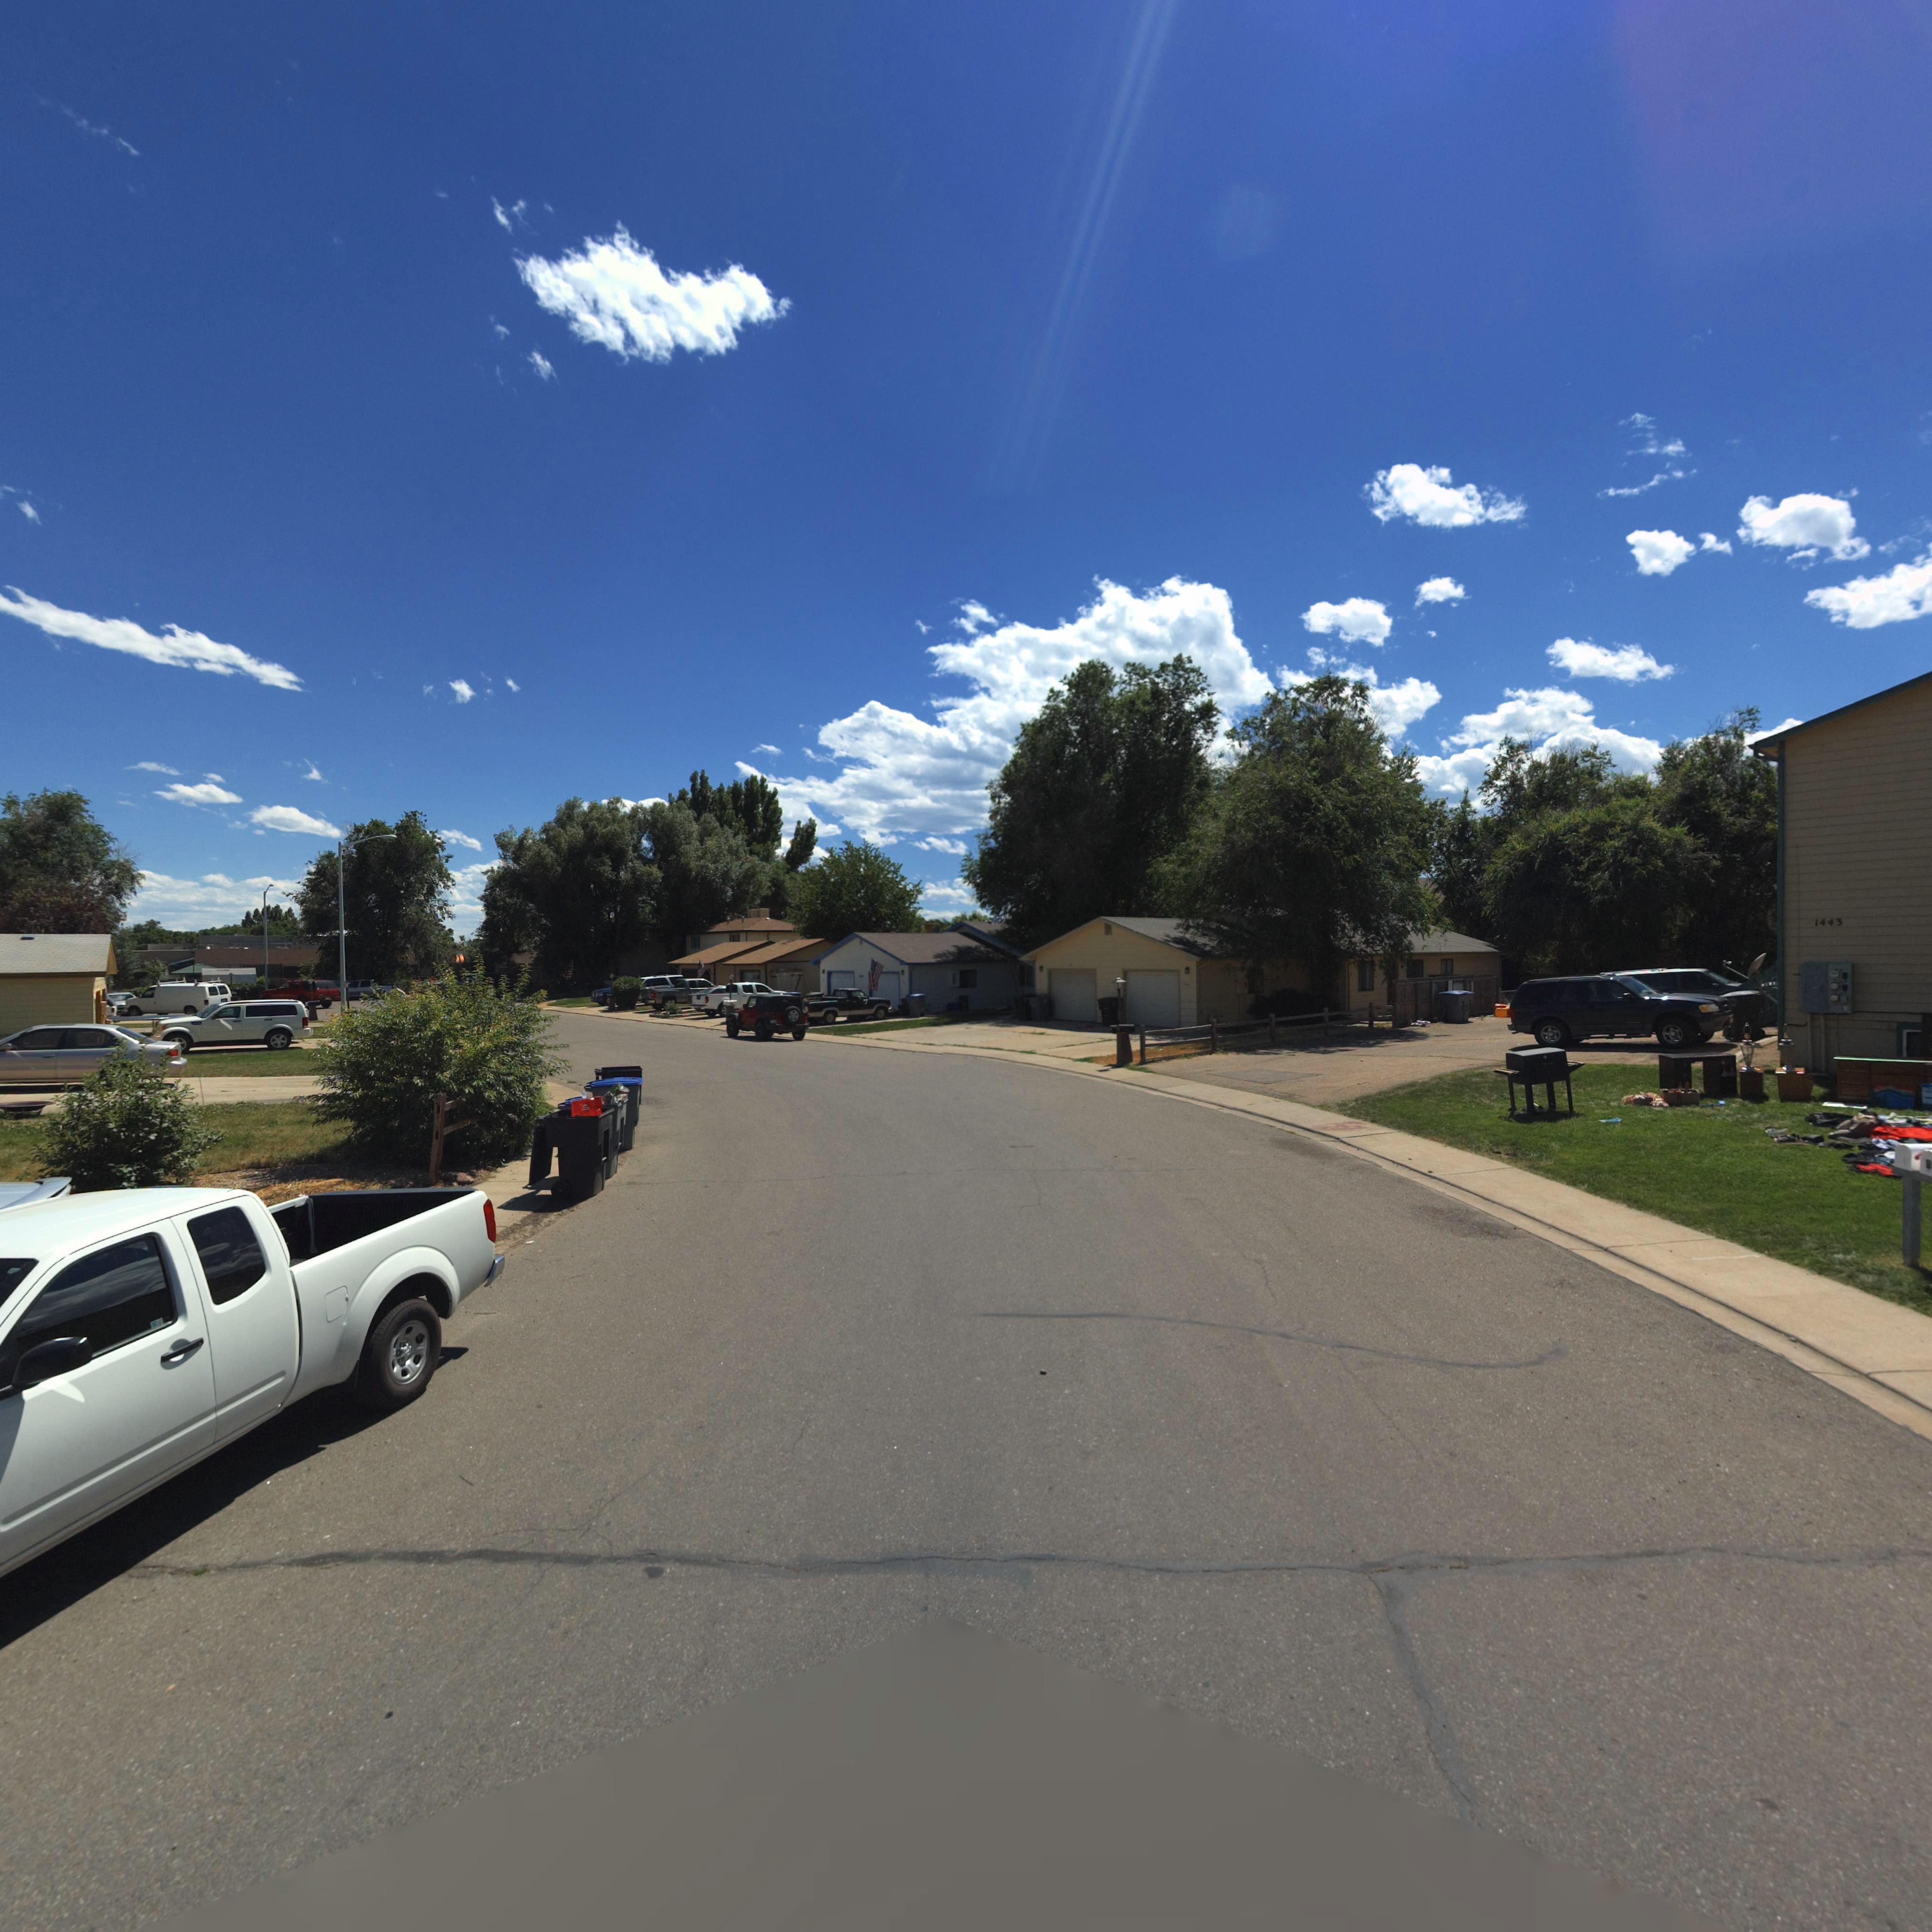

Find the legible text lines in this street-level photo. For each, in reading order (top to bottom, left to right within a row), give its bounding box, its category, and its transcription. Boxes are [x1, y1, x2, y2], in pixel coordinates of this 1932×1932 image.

[1815, 918, 1842, 926] StreetNumber: 1443